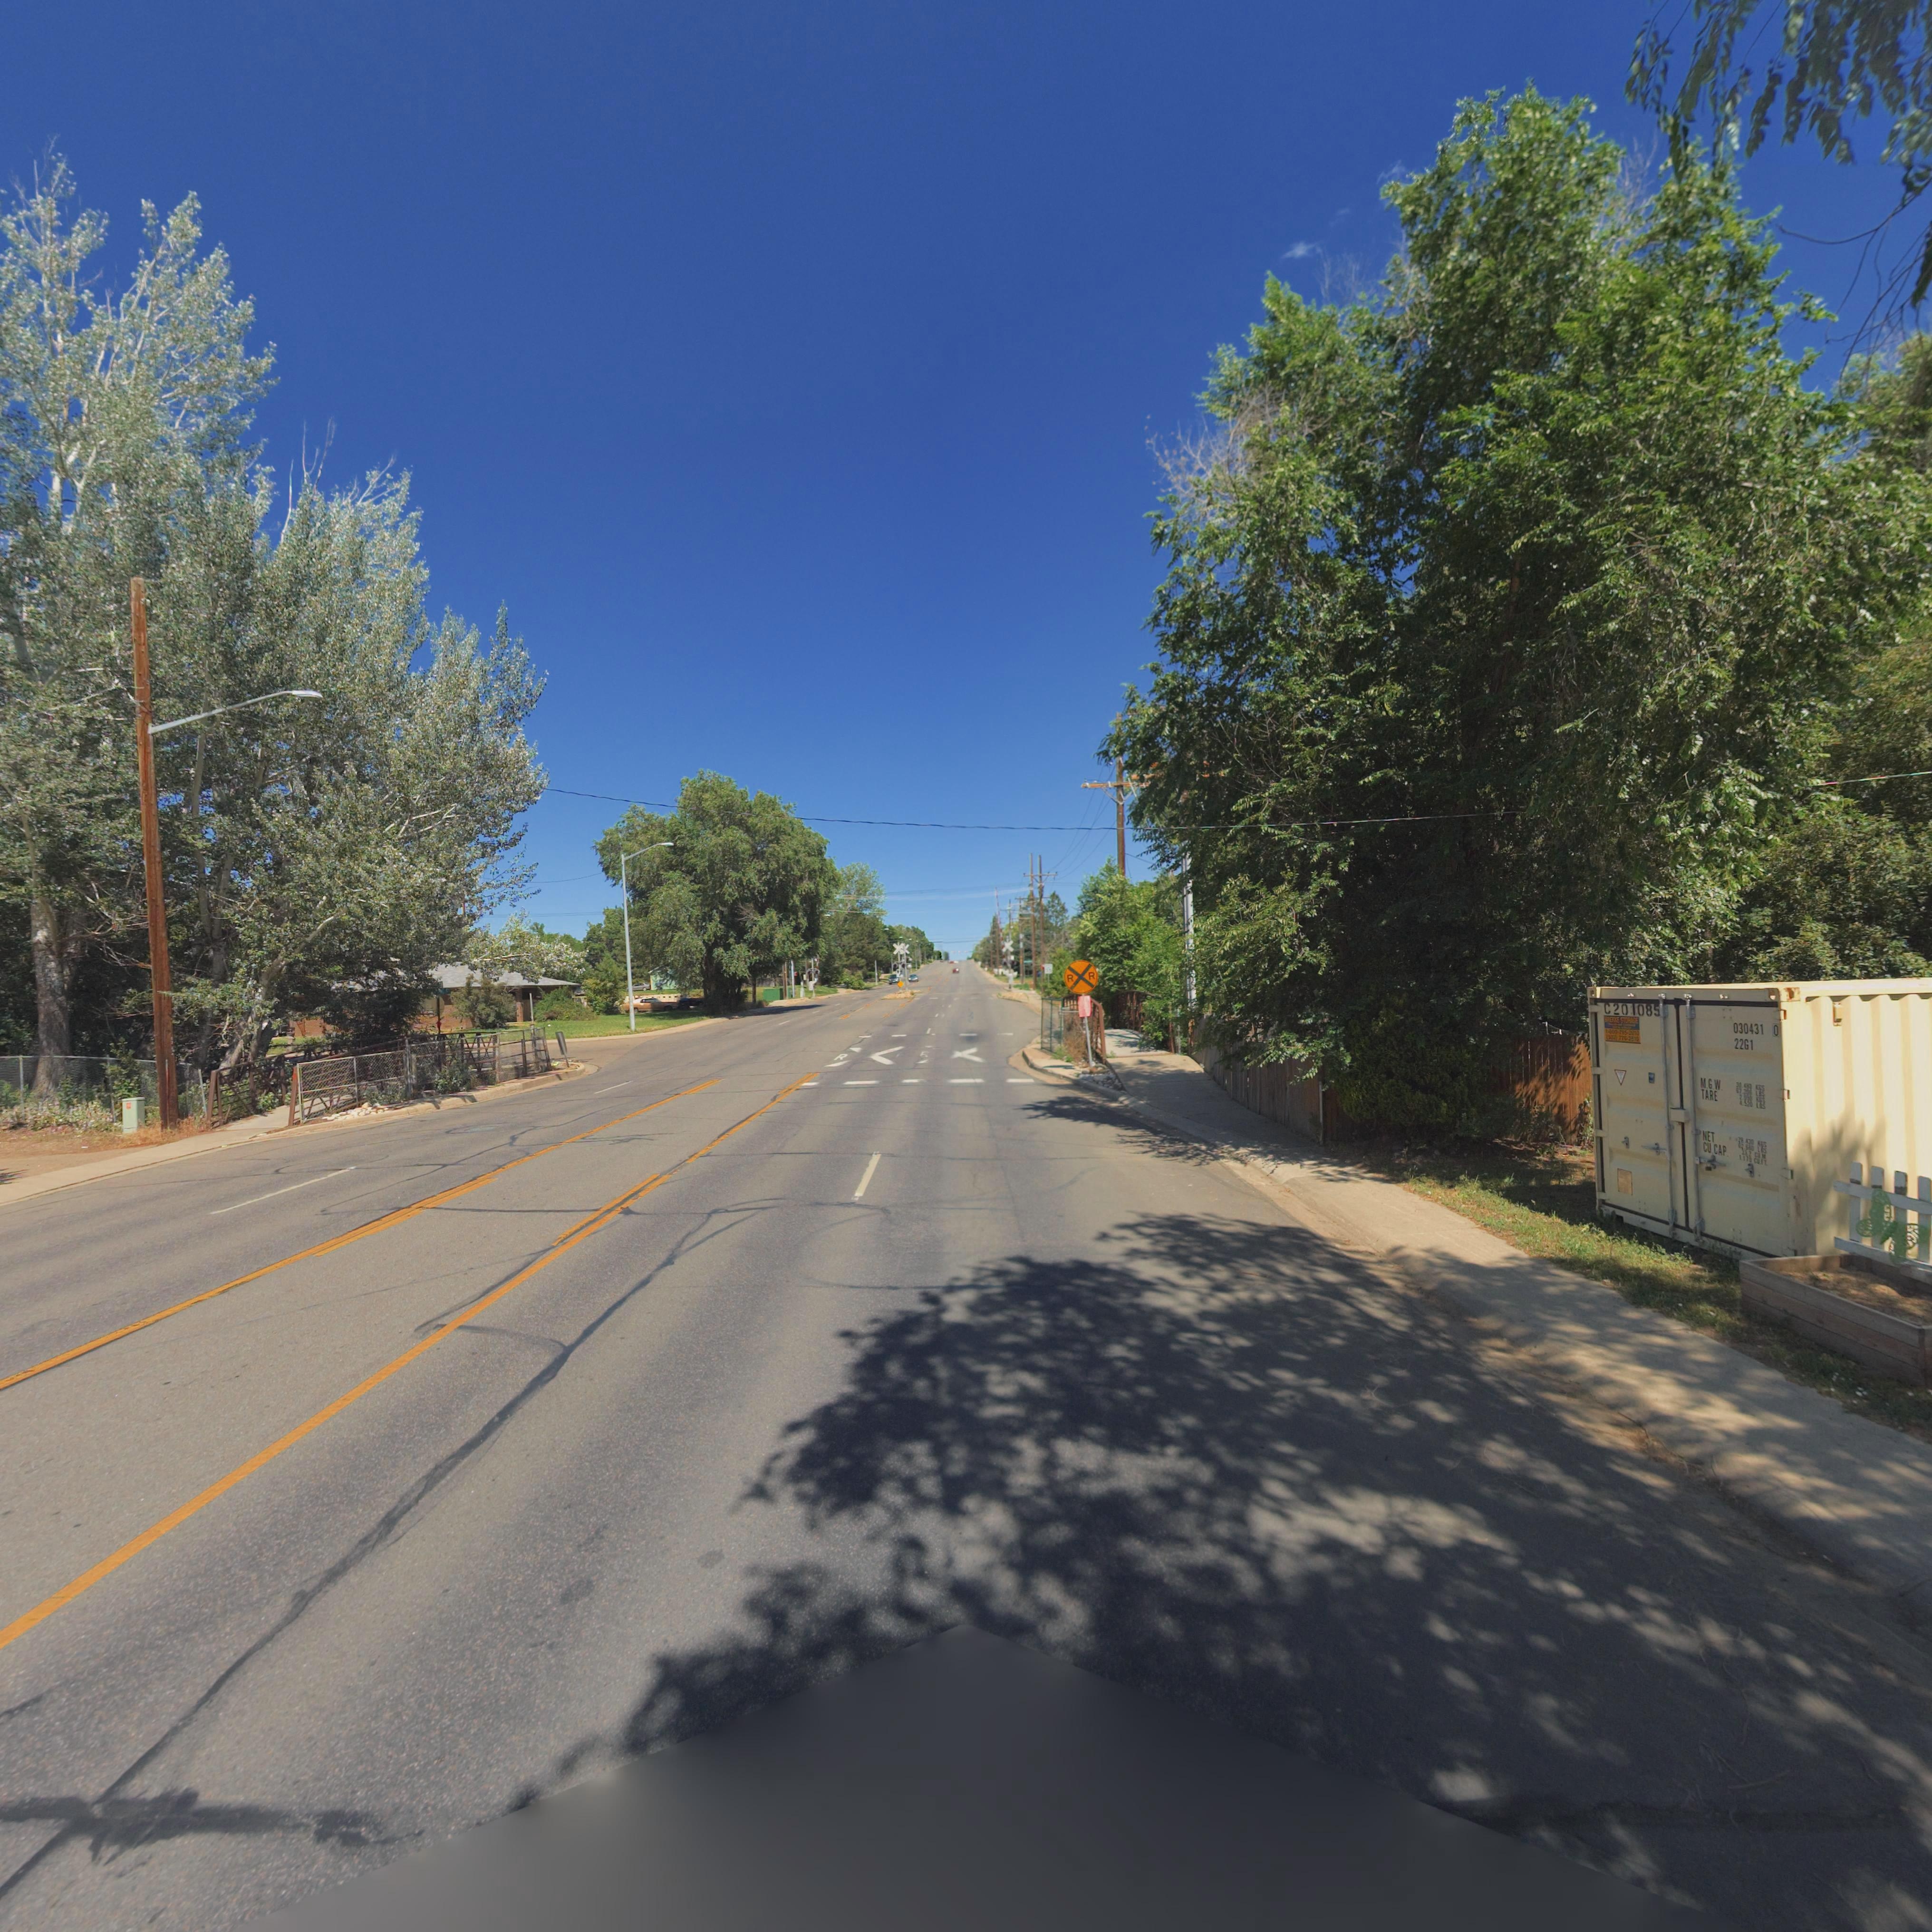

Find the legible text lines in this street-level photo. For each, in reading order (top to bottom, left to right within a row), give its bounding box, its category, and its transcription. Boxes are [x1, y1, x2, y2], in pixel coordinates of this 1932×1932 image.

[432, 988, 451, 993] StreetName: **** CT